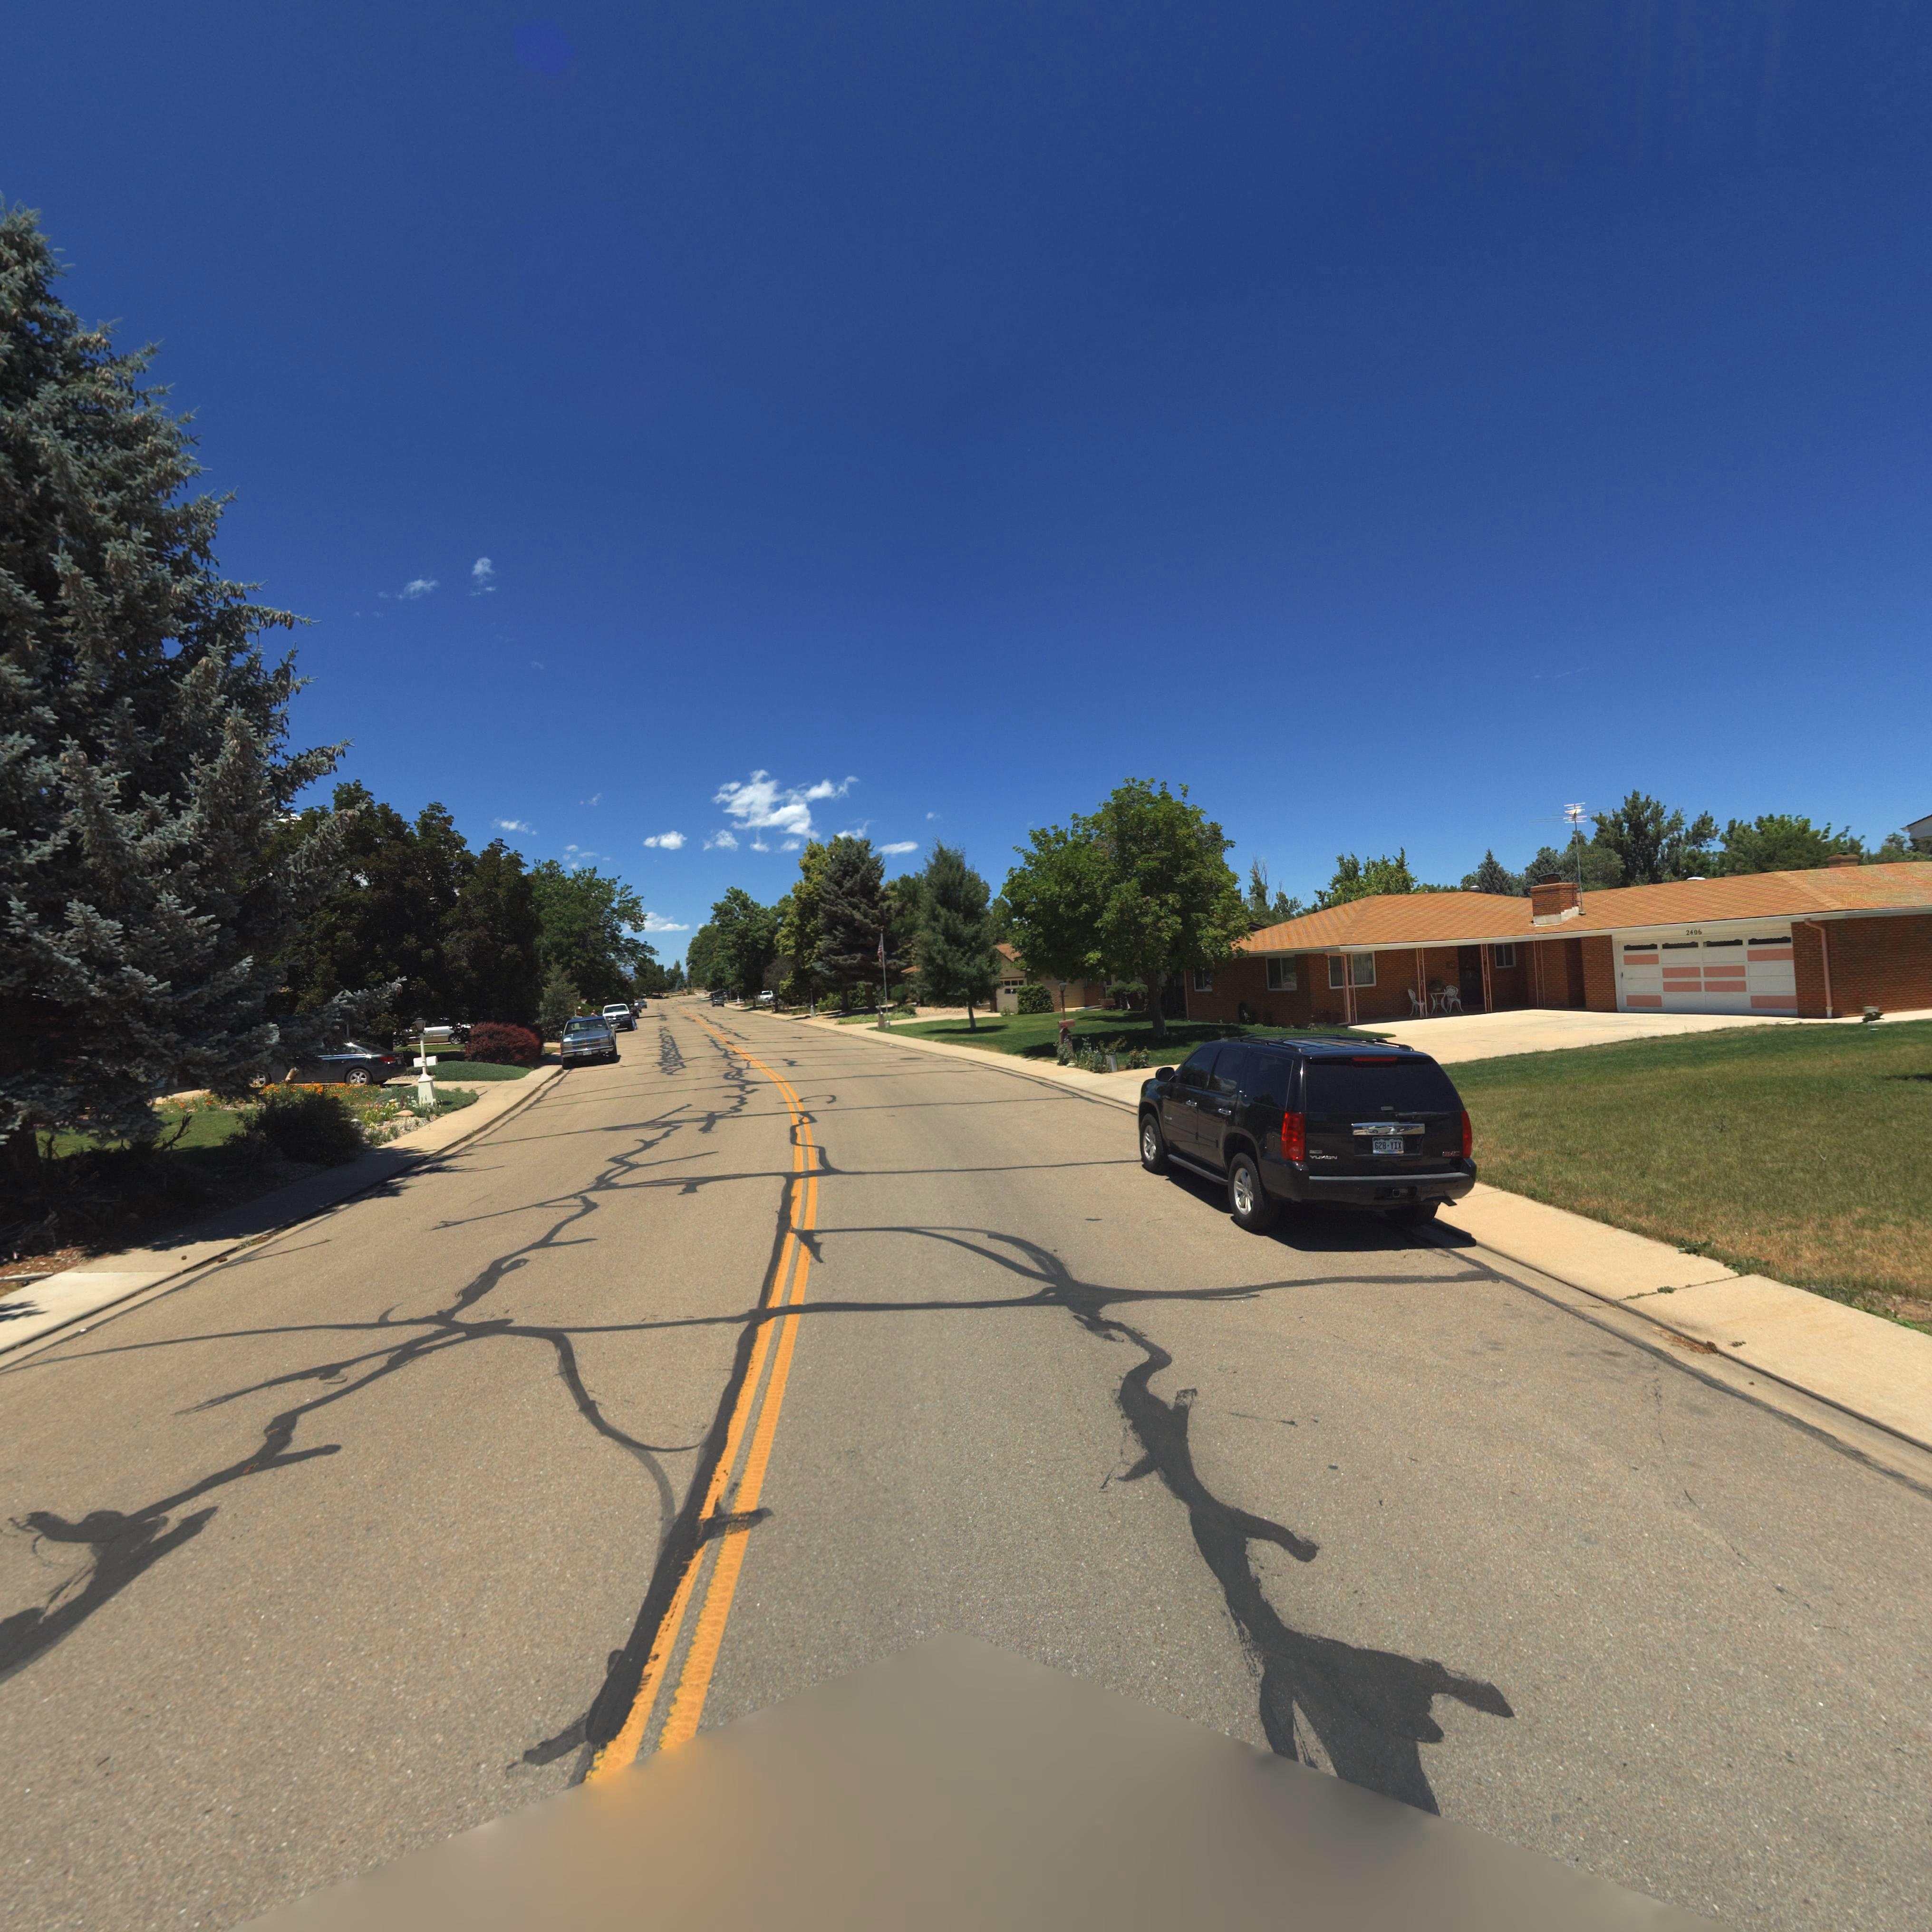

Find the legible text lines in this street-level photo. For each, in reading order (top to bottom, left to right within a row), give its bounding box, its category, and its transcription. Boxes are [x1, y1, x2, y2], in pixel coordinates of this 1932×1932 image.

[1685, 929, 1701, 936] StreetNumber: 2406